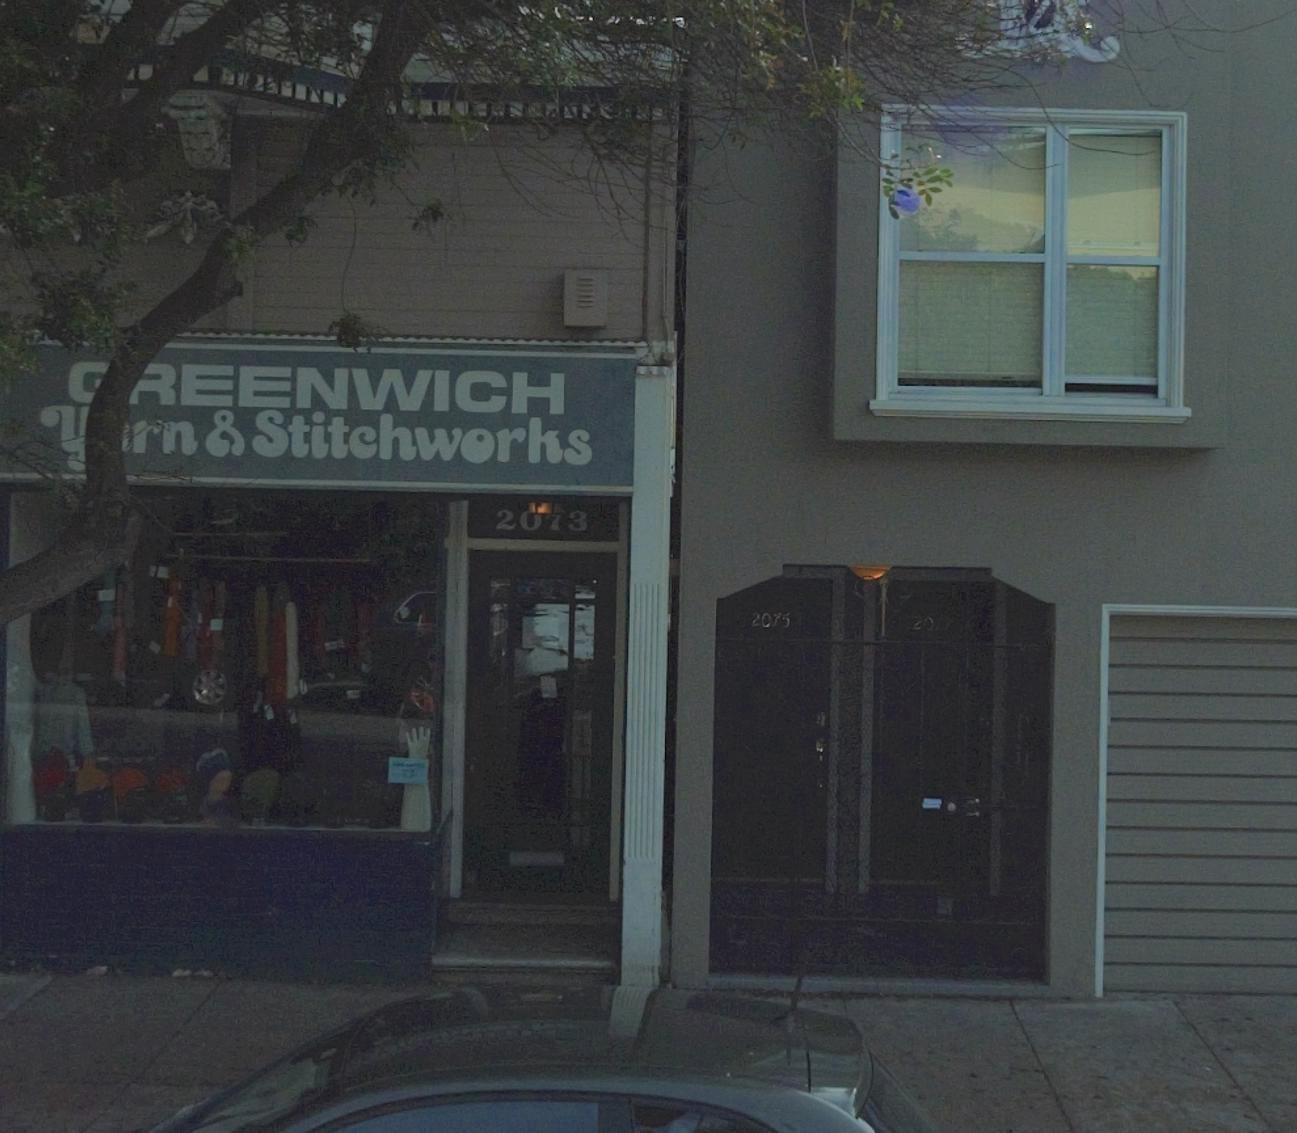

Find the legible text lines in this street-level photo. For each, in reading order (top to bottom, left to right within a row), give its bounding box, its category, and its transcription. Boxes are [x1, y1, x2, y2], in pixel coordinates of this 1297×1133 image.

[177, 360, 568, 418] BusinessName: EENWICH
[159, 407, 597, 467] BusinessName: n & Stitchworks
[491, 506, 590, 534] StreetNumber: 2**3
[748, 609, 794, 631] StreetNumber: 2075